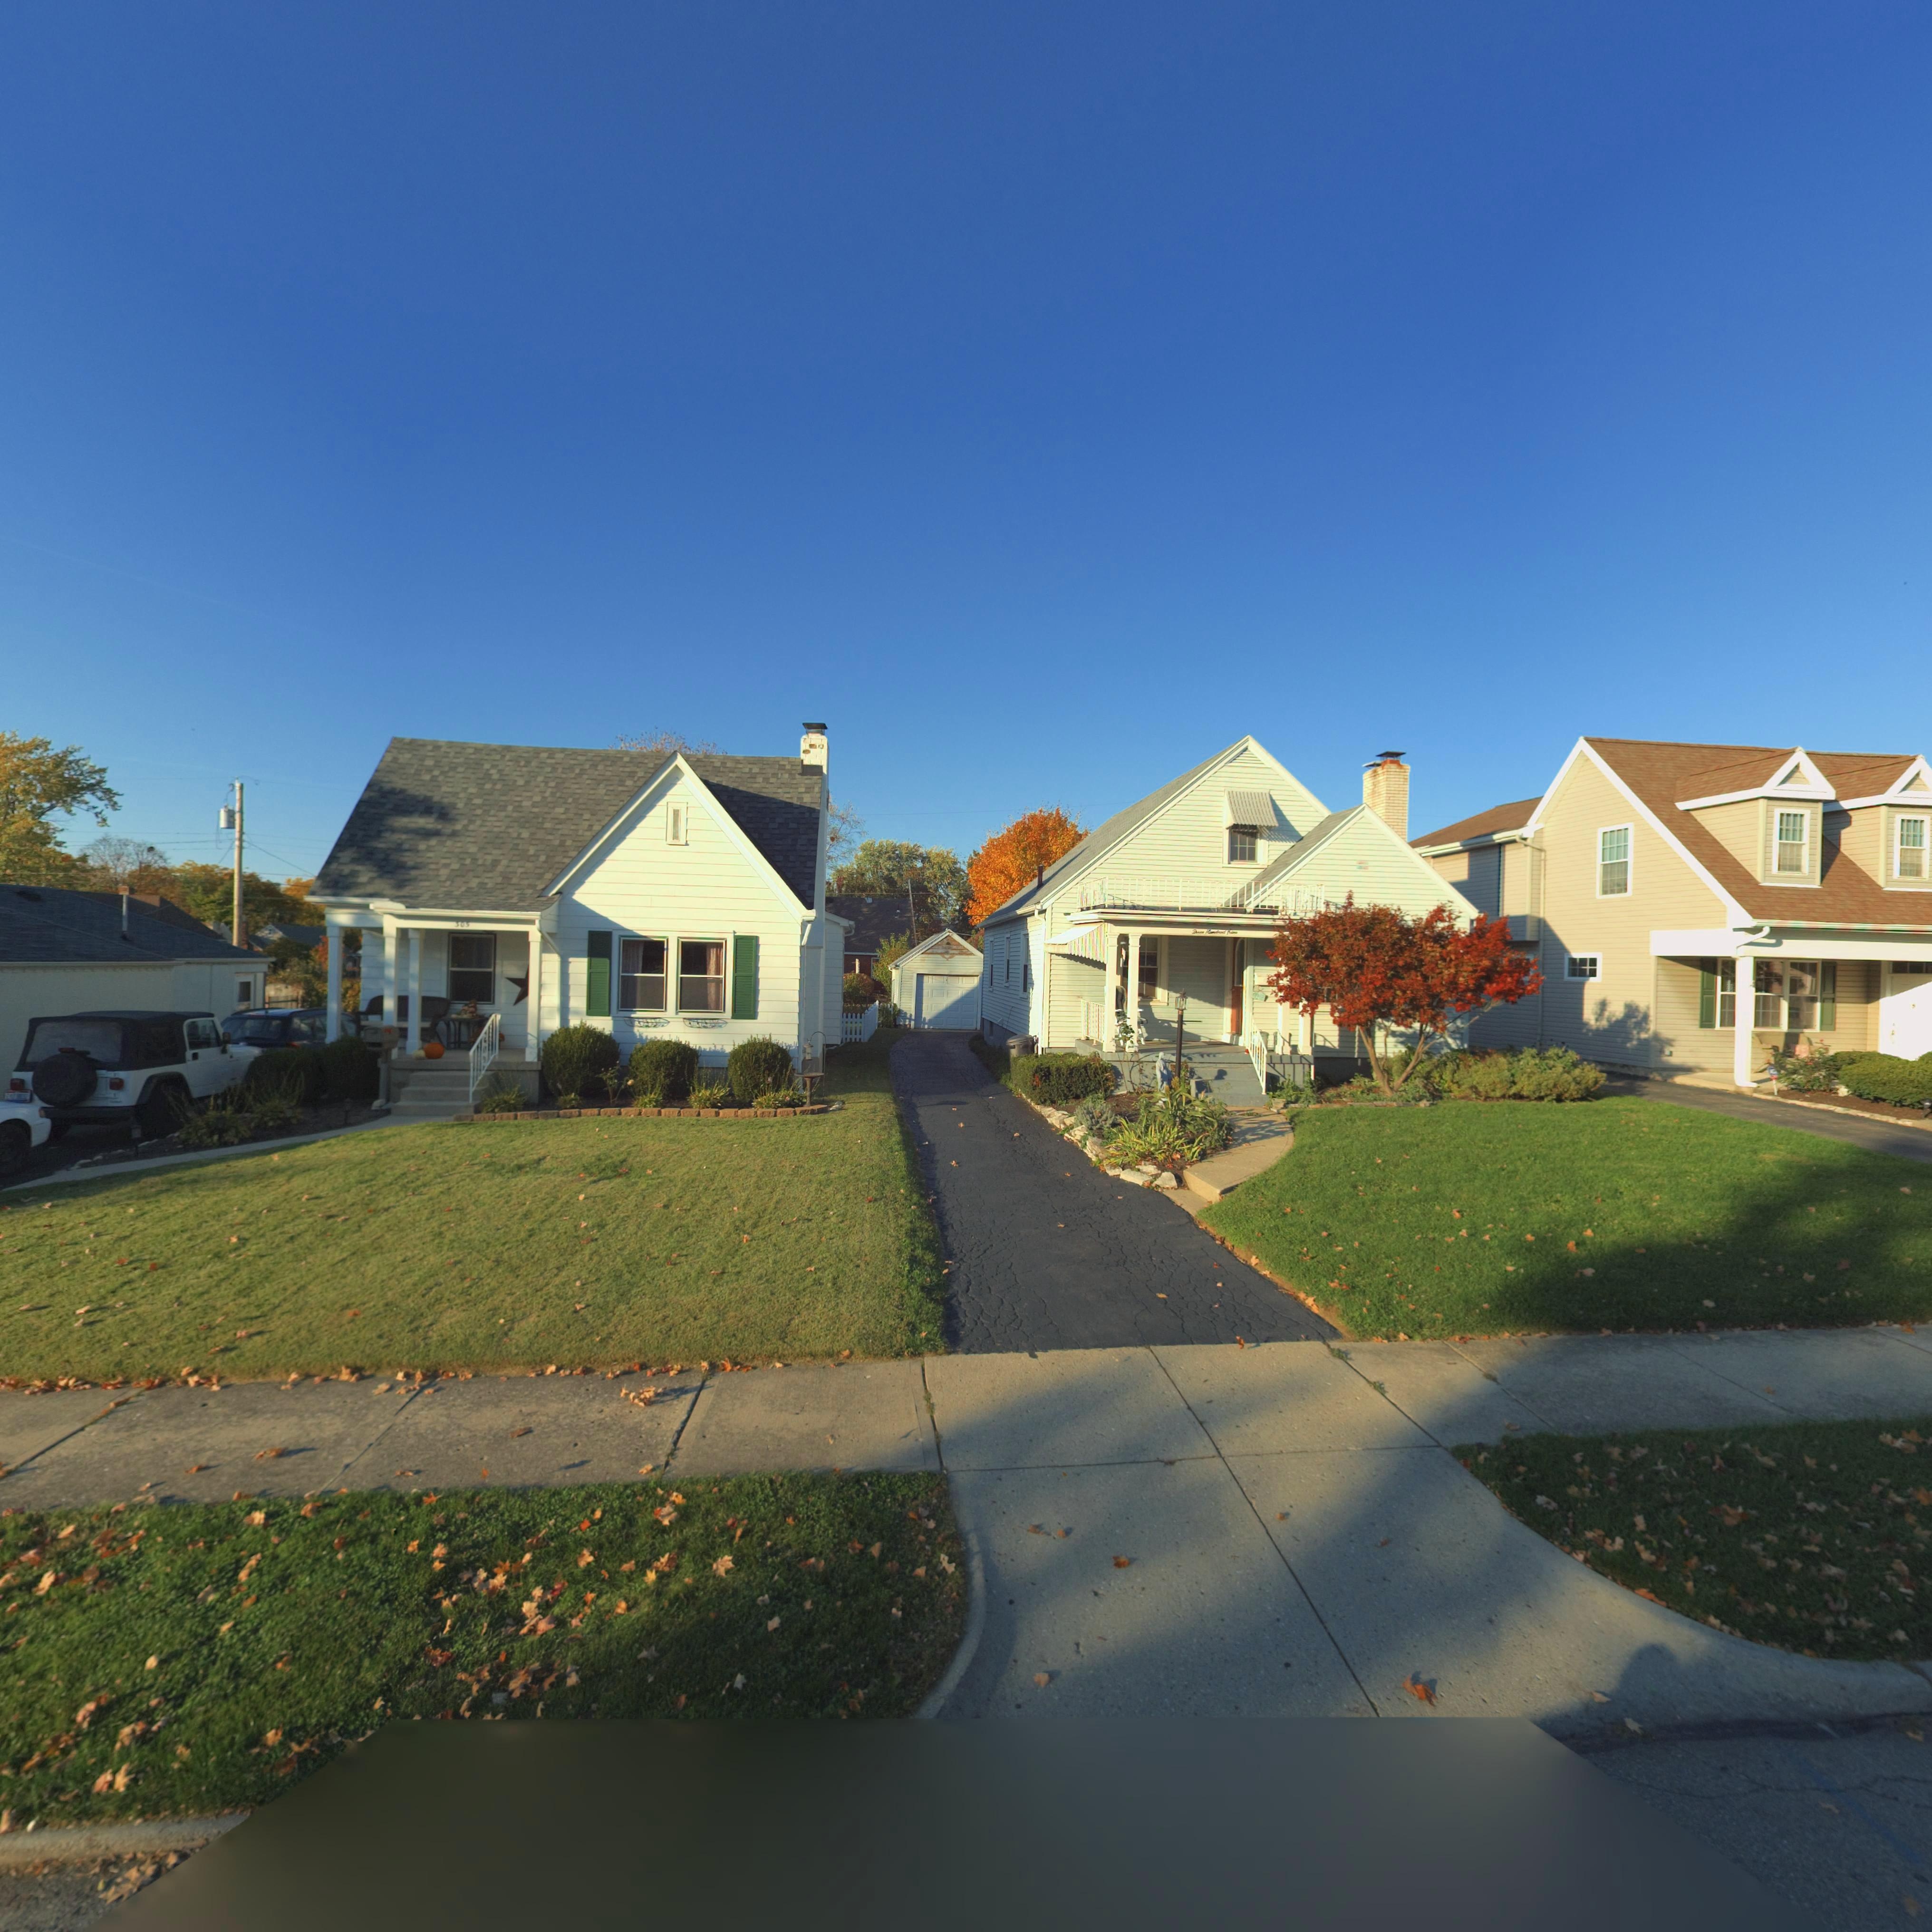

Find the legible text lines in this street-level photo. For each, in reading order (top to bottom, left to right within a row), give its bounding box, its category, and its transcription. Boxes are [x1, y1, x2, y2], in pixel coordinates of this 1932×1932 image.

[454, 920, 471, 928] StreetNumber: 305
[1191, 928, 1238, 935] StreetNumber:  Three Hundred ****